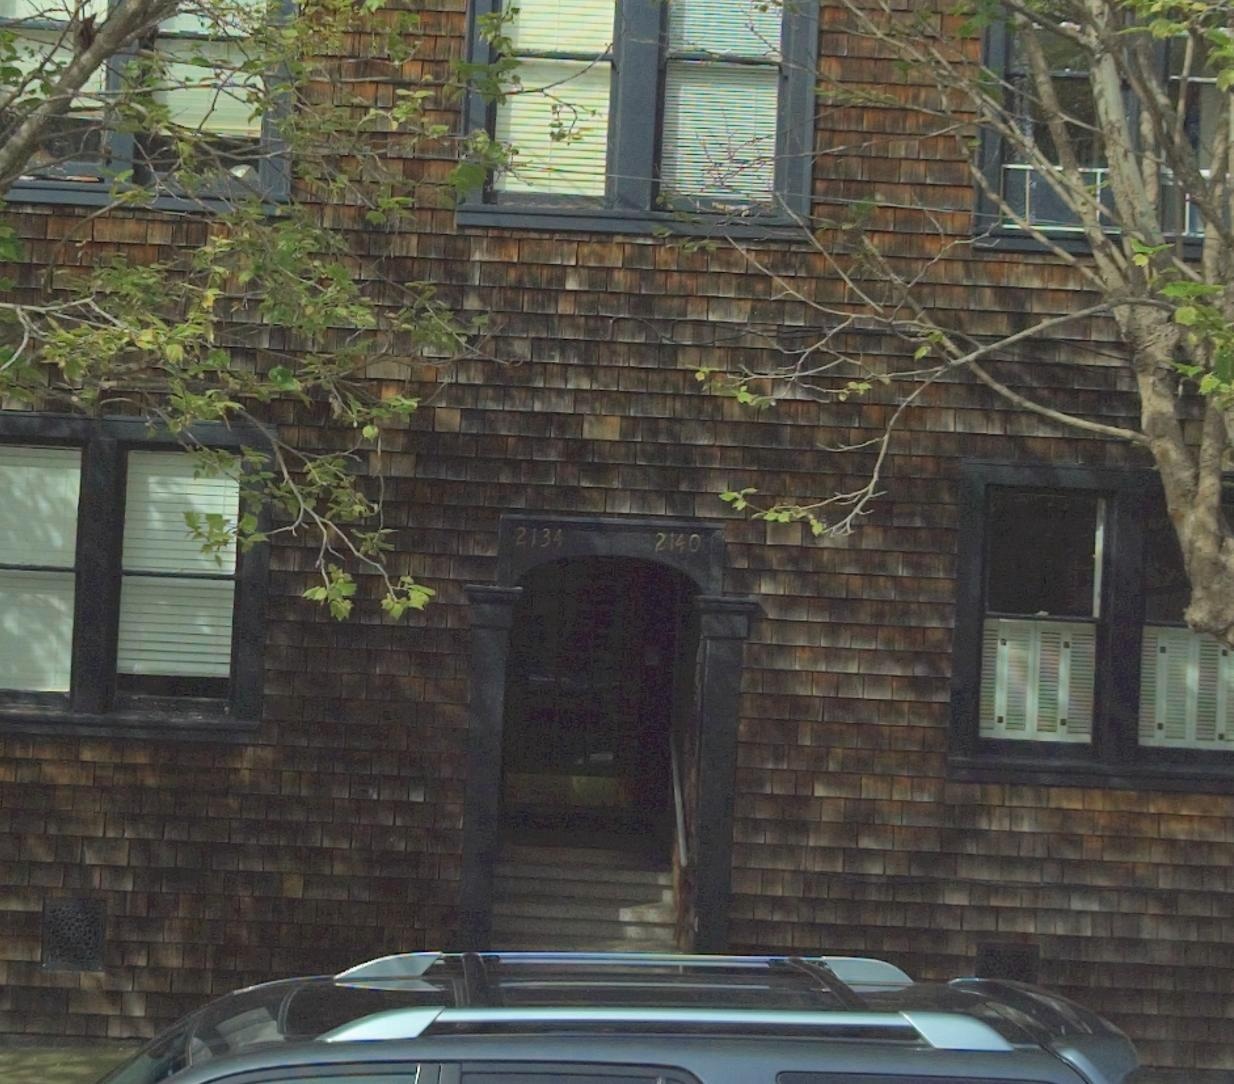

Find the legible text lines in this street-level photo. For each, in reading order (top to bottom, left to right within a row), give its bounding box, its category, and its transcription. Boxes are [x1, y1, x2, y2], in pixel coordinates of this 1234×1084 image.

[513, 524, 566, 552] StreetNumber: 2134
[651, 530, 703, 555] StreetNumber: 2140